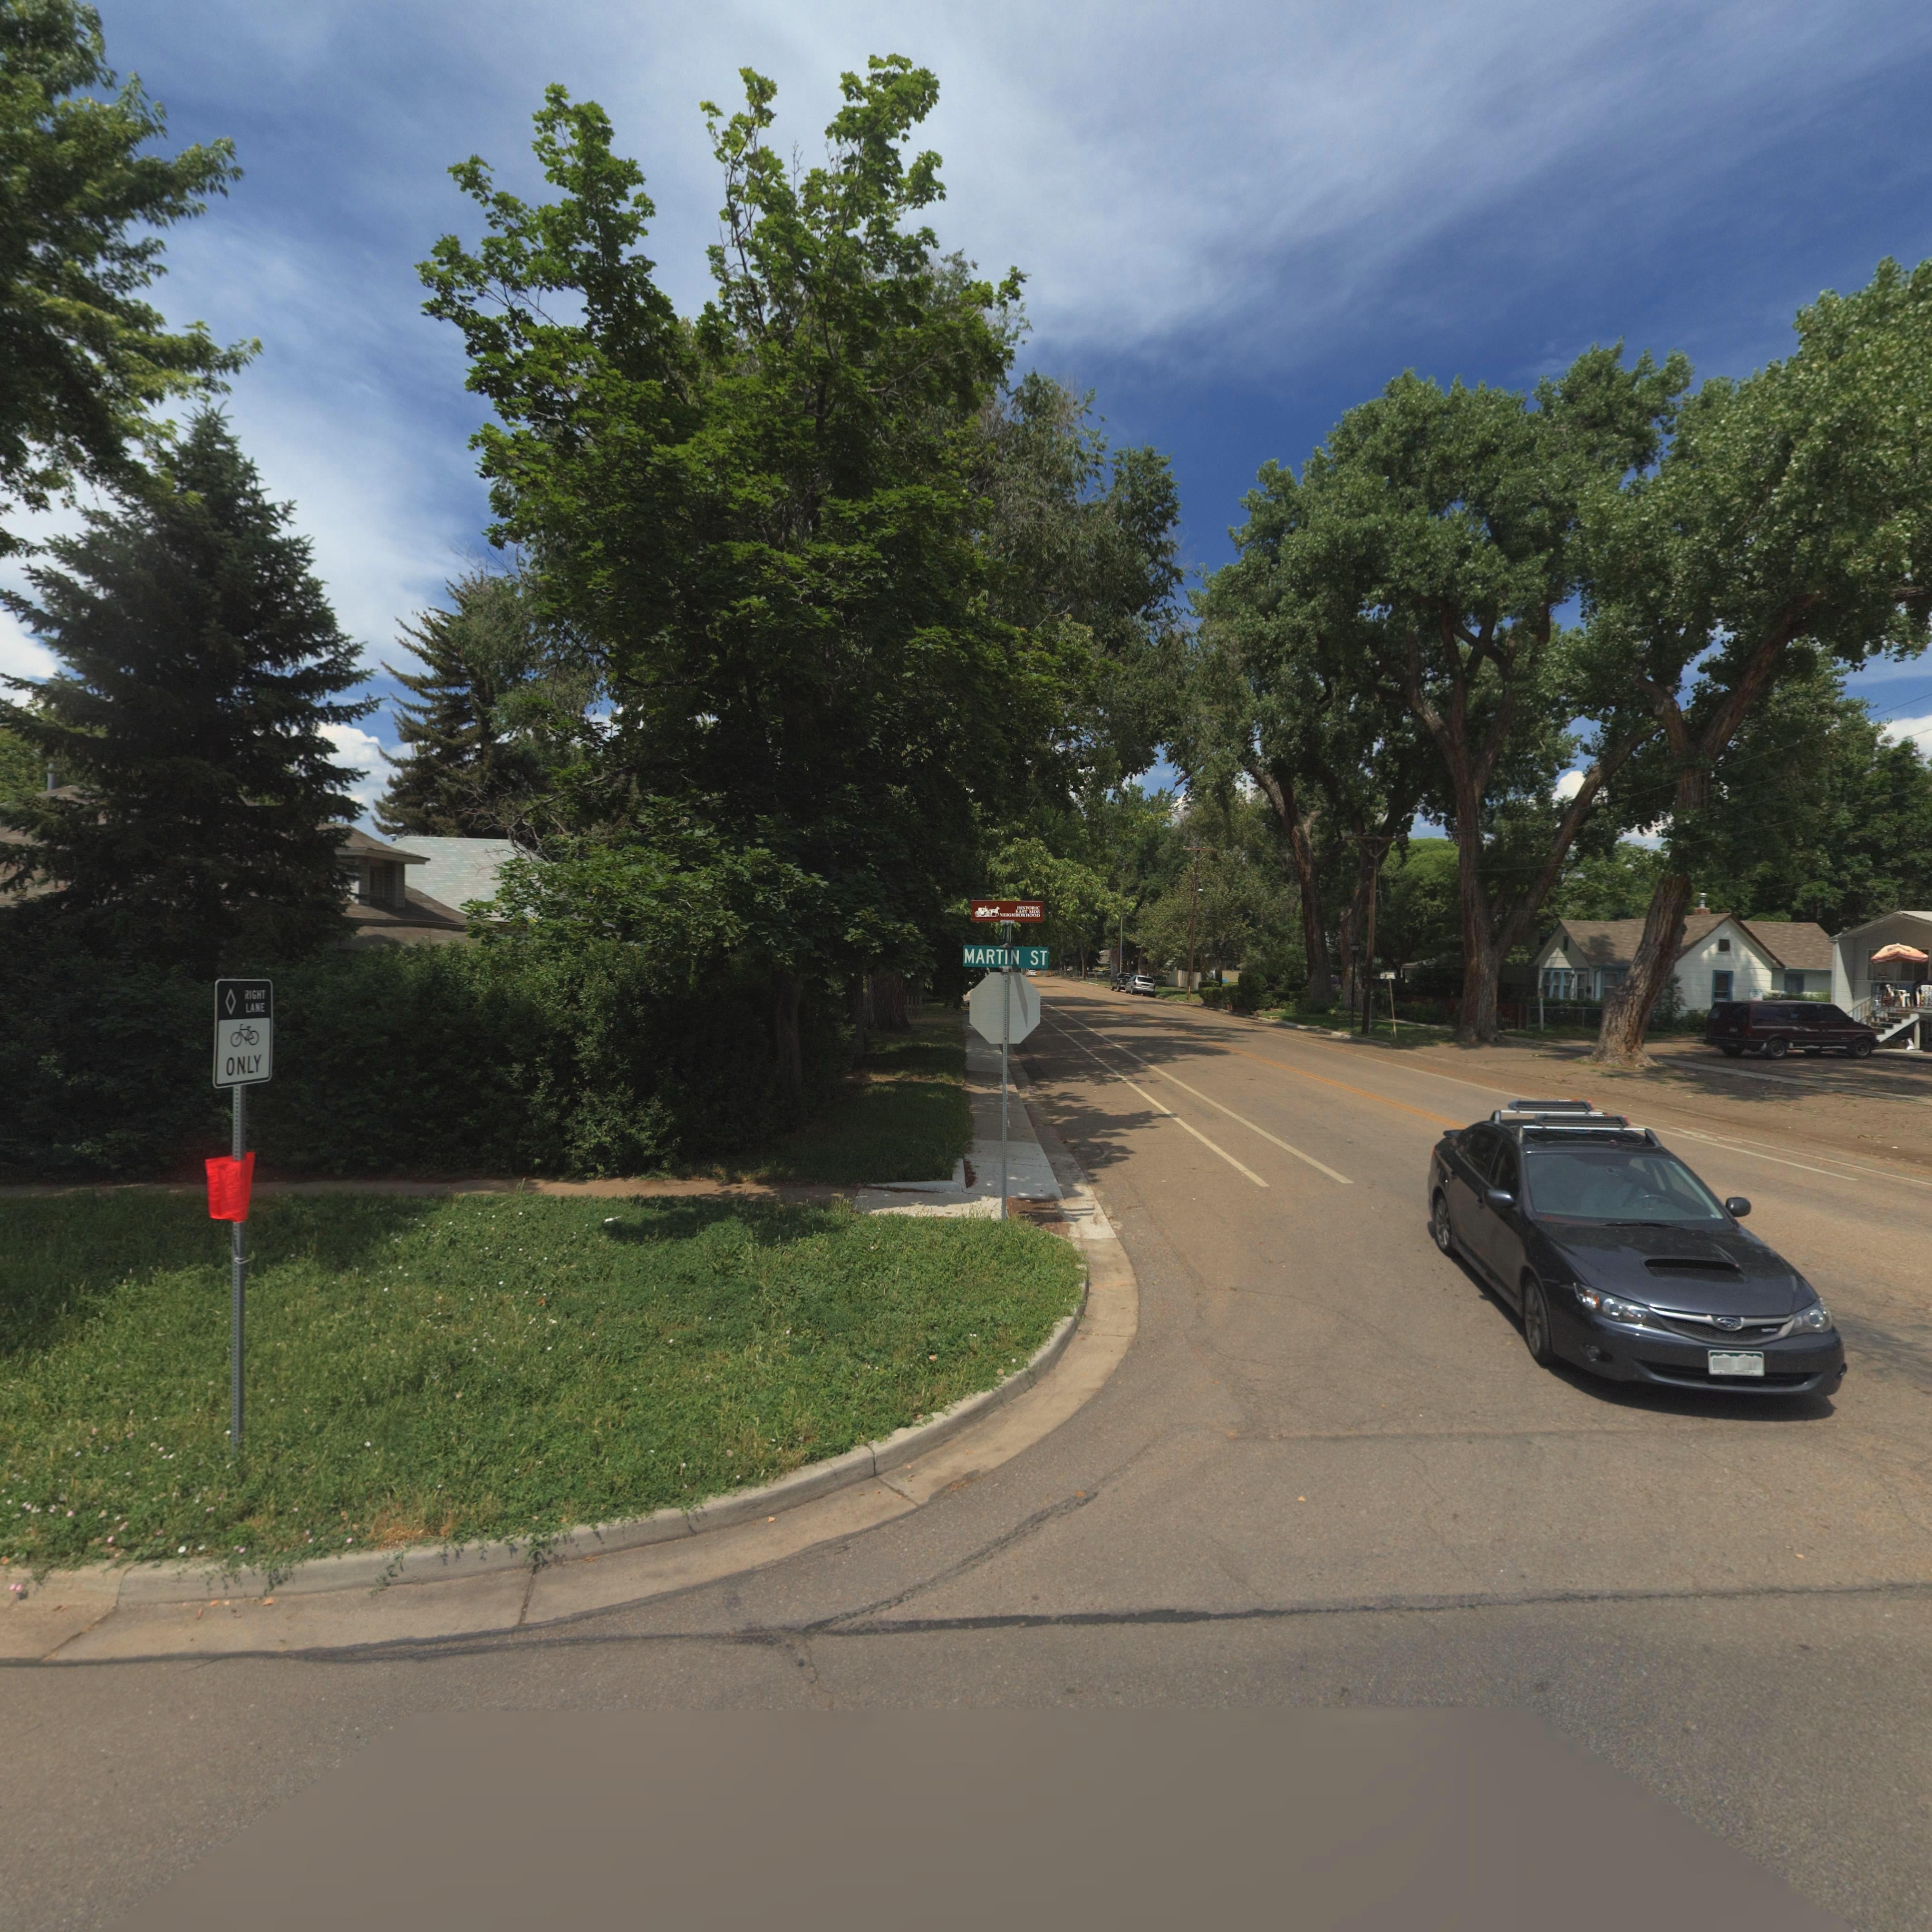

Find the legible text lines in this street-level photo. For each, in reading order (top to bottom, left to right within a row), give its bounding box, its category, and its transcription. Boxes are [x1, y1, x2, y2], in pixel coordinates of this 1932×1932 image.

[964, 948, 1048, 966] StreetName: MARTIN ST